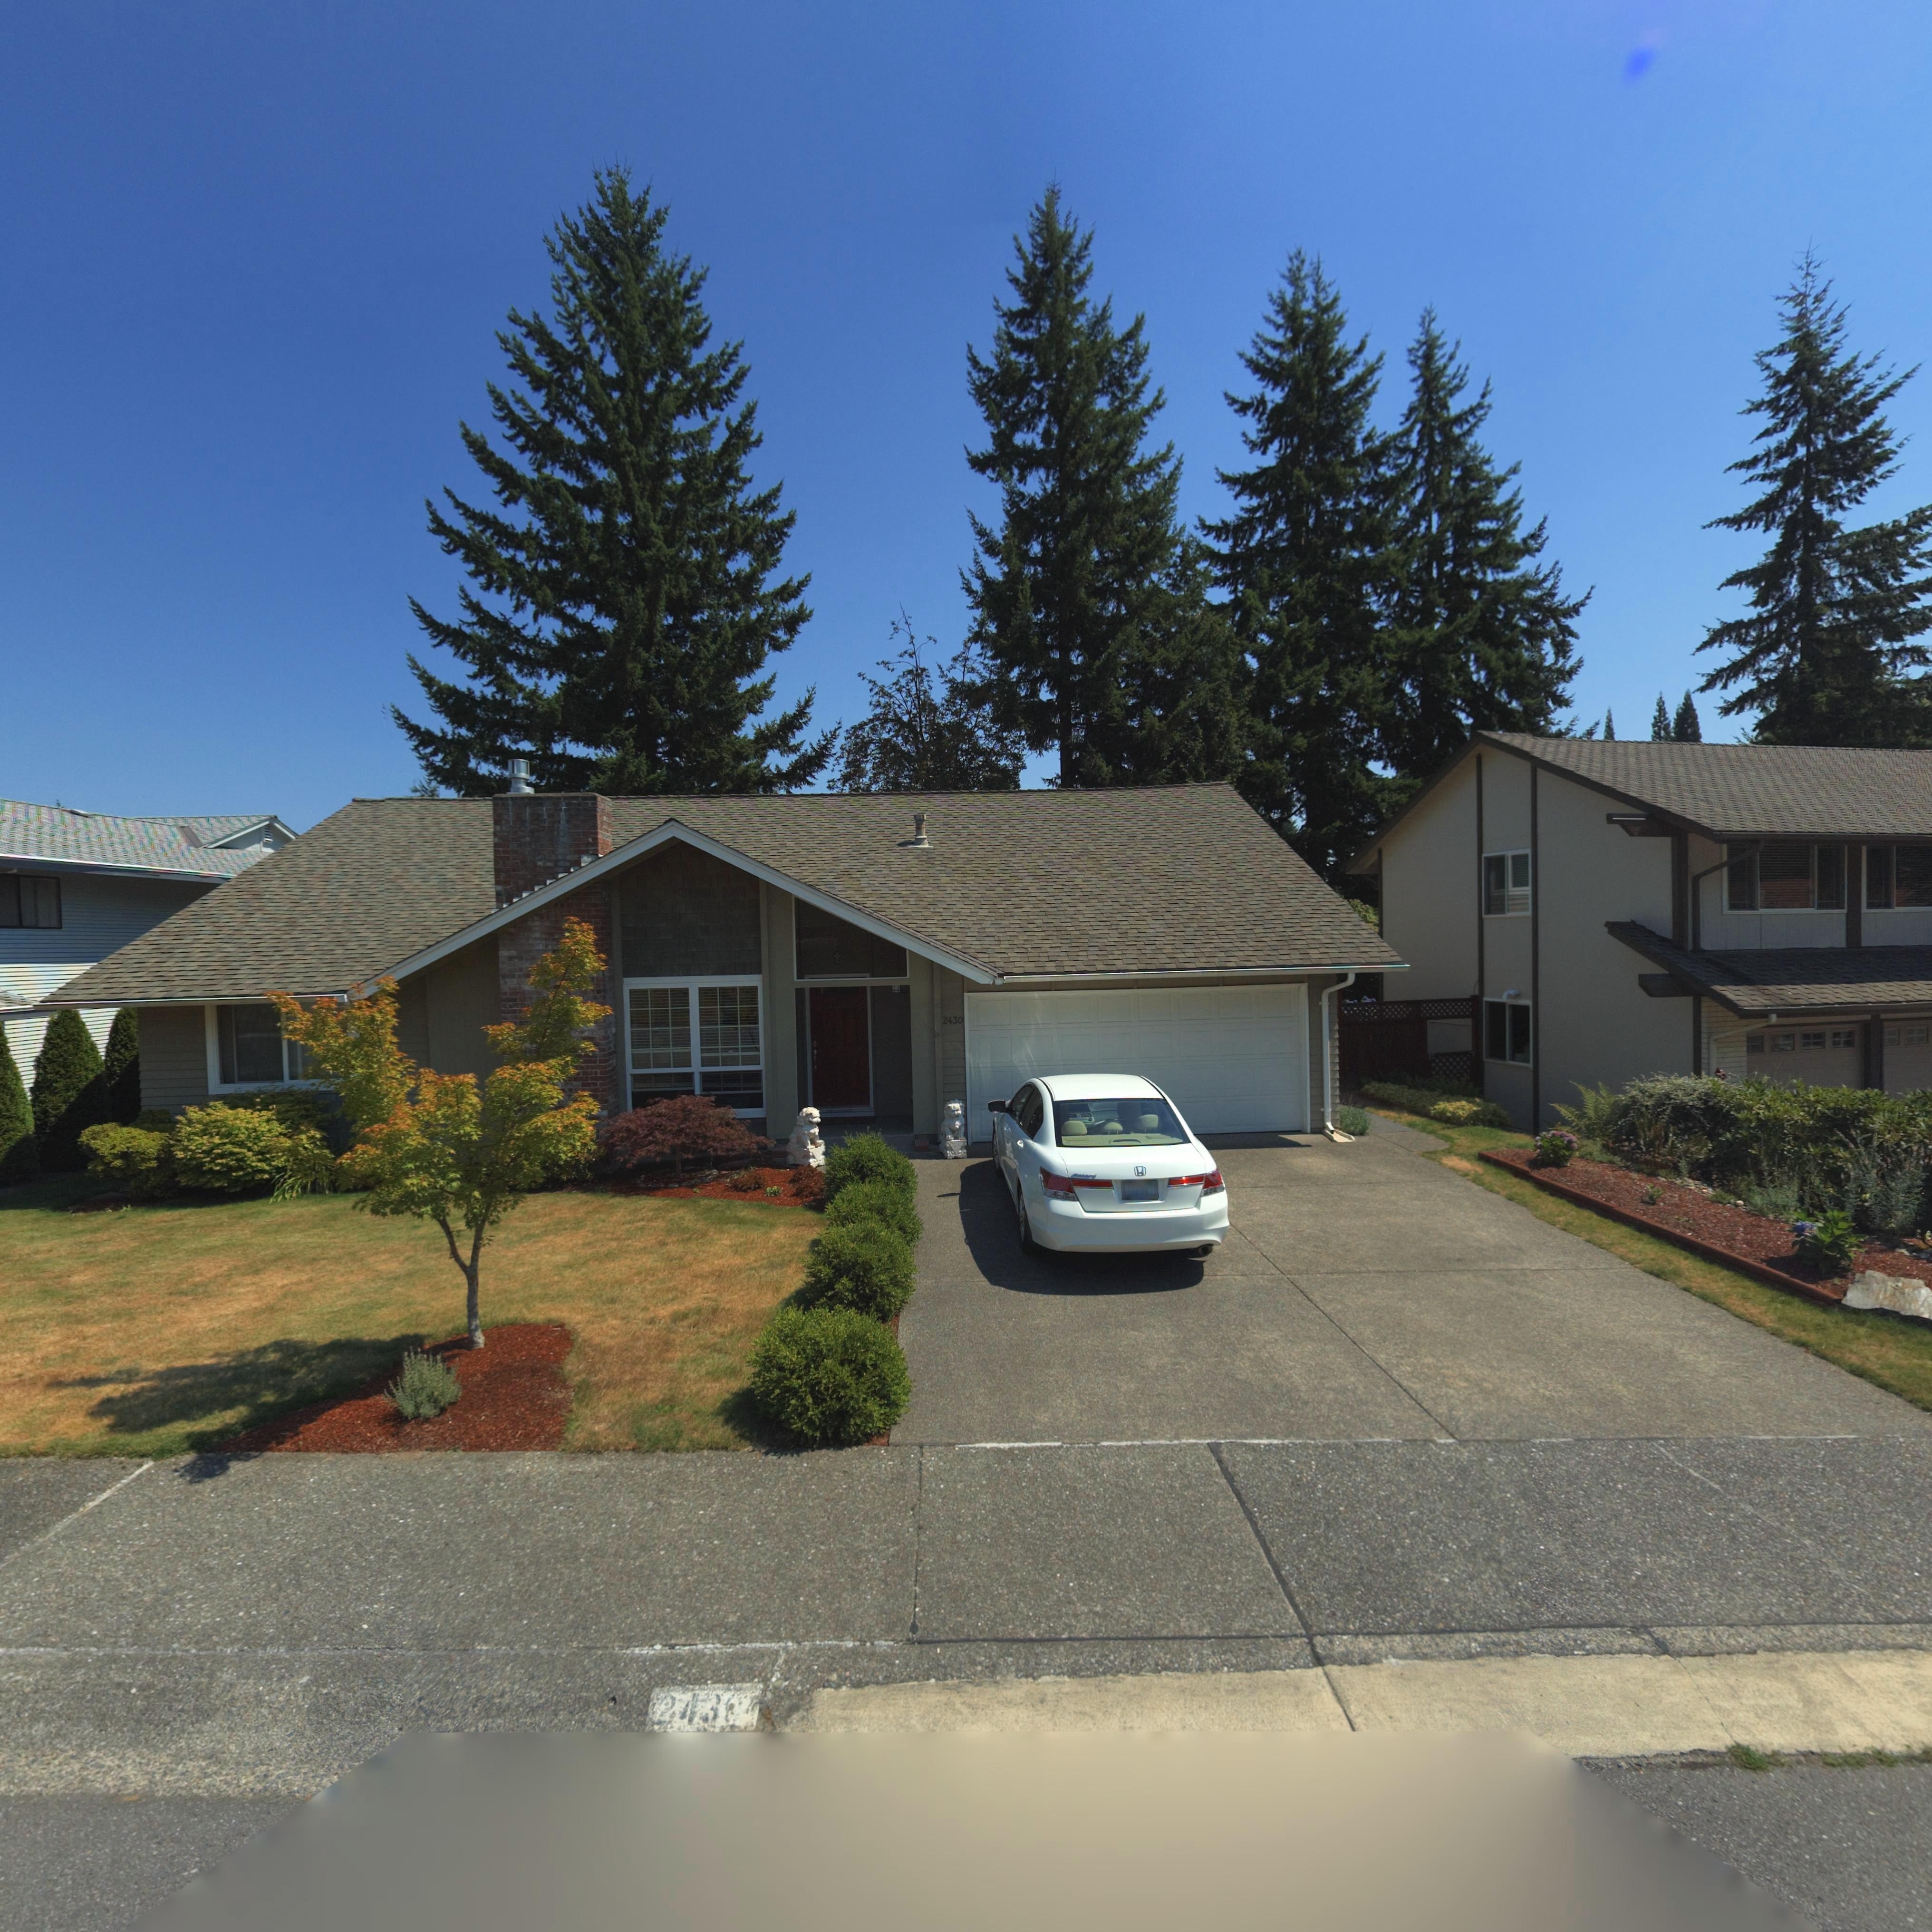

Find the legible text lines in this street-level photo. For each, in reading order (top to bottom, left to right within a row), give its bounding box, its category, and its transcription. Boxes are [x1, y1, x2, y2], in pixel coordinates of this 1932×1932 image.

[943, 1015, 963, 1024] StreetNumber: 2430